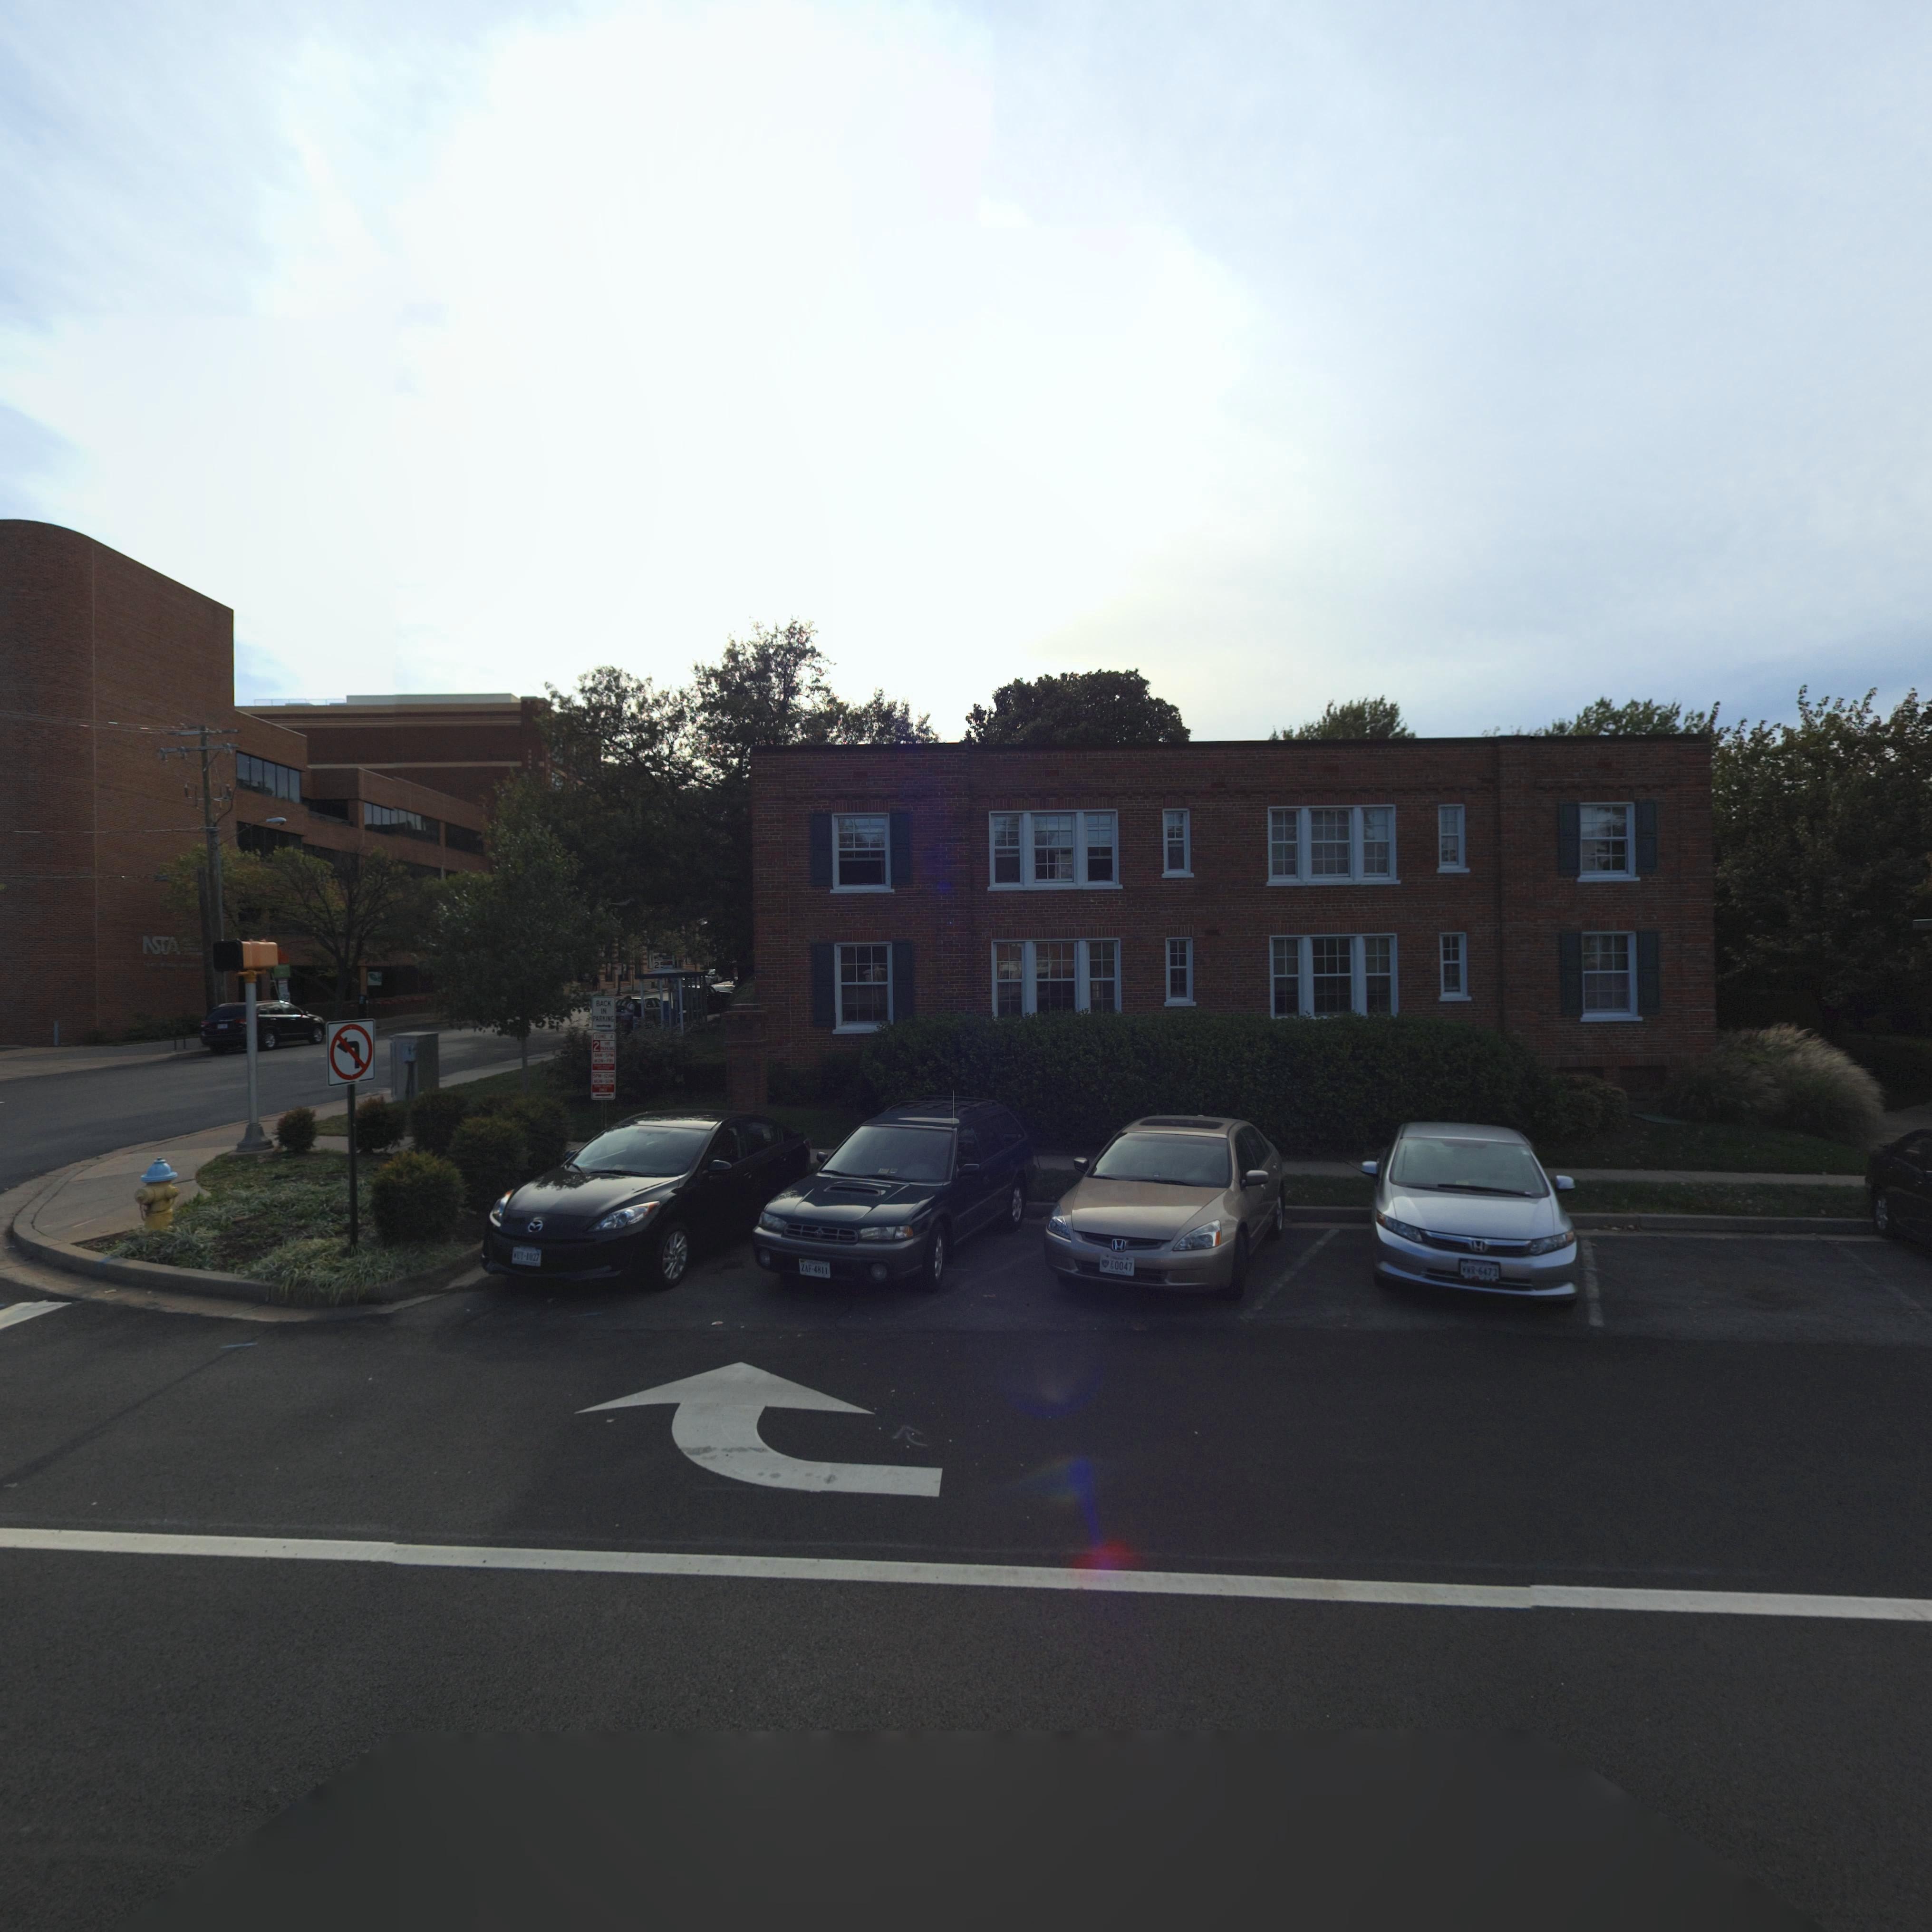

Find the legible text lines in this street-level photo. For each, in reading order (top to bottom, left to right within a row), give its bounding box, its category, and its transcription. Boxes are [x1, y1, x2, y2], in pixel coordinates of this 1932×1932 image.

[143, 935, 182, 956] BusinessName: *STA
[596, 1000, 612, 1007] None: BACK
[600, 1007, 608, 1015] None: IN
[592, 1015, 614, 1023] None: PARKING
[595, 1034, 613, 1039] None: ZONE 4
[593, 1041, 599, 1052] None: 2
[594, 1053, 614, 1058] None: 8AM-5PM
[594, 1058, 614, 1063] None: MON-FRI
[593, 1073, 614, 1078] None: 5PM-12AM
[593, 1079, 613, 1084] None: MON-SUN
[525, 1251, 540, 1262] None: 1027
[801, 1264, 828, 1275] None: ZAF*4811
[1114, 1260, 1133, 1272] None: 0047
[1461, 1264, 1498, 1277] None: WWR*6473